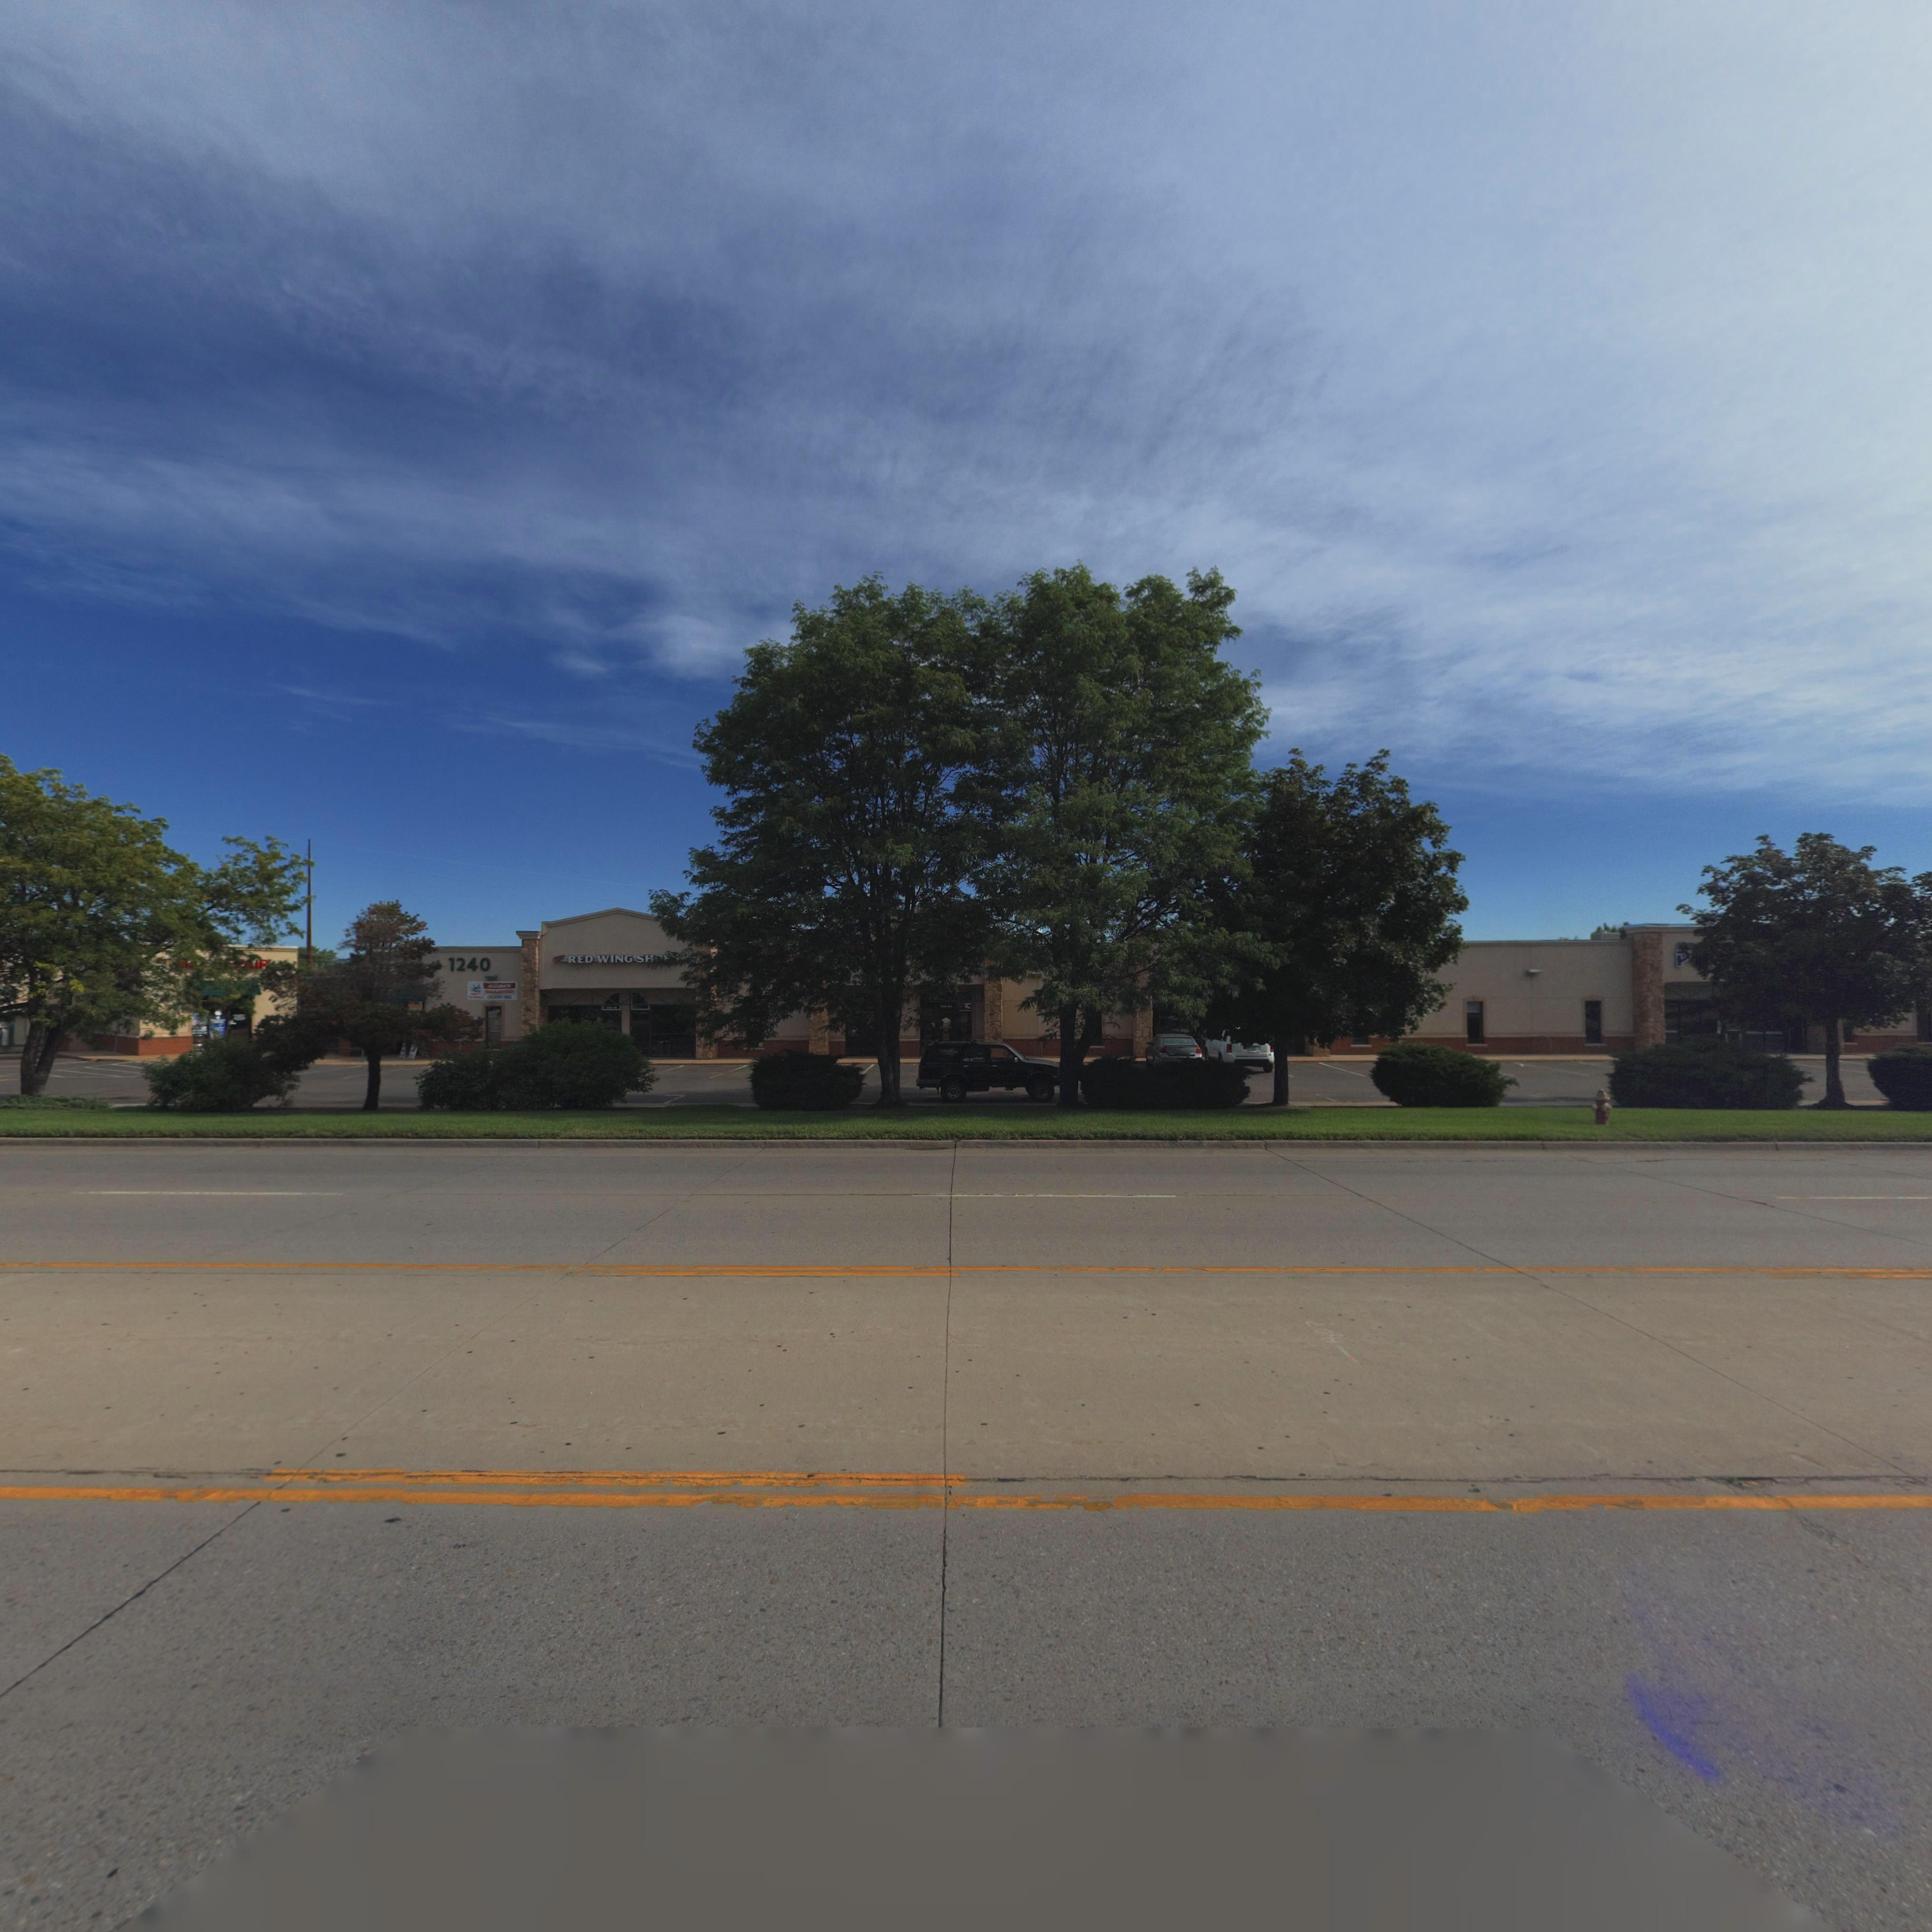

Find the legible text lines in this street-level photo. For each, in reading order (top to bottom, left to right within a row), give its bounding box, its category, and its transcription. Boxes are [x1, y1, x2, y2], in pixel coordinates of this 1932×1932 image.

[567, 953, 655, 964] BusinessName: RED WING SH
[1673, 948, 1691, 967] BusinessName: P
[254, 959, 270, 969] BusinessName: IR
[448, 956, 491, 972] StreetNumber: 1240
[939, 1005, 952, 1008] StreetNumber: 1*10*1A